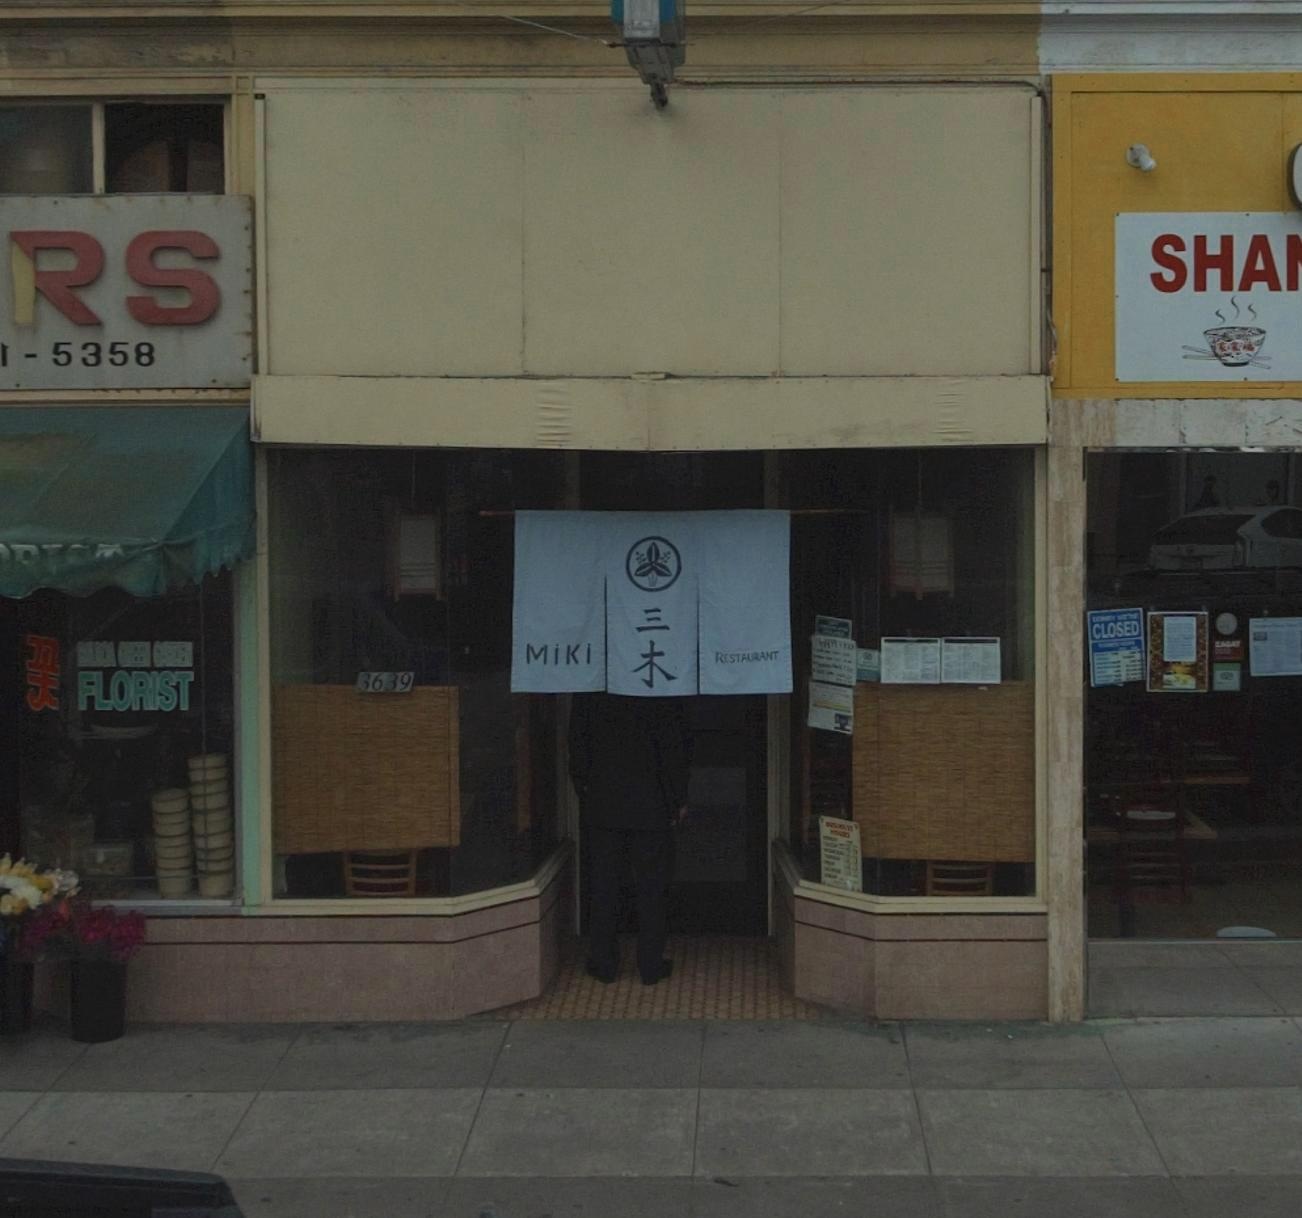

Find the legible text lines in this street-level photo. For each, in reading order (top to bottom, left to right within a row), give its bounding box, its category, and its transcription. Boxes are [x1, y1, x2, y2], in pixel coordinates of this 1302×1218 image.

[3, 224, 226, 334] BusinessName: RS
[1146, 231, 1285, 295] BusinessName: SHA
[48, 336, 159, 369] None: 5358
[1090, 618, 1142, 641] None: CLOSED
[73, 639, 198, 671] None: BALBOA GREEN GARDEN
[524, 639, 594, 667] BusinessName: Miki
[713, 649, 780, 665] BusinessName: RESTAURANT
[75, 668, 198, 714] None: FLORIST
[355, 672, 415, 693] StreetNumber: 3639